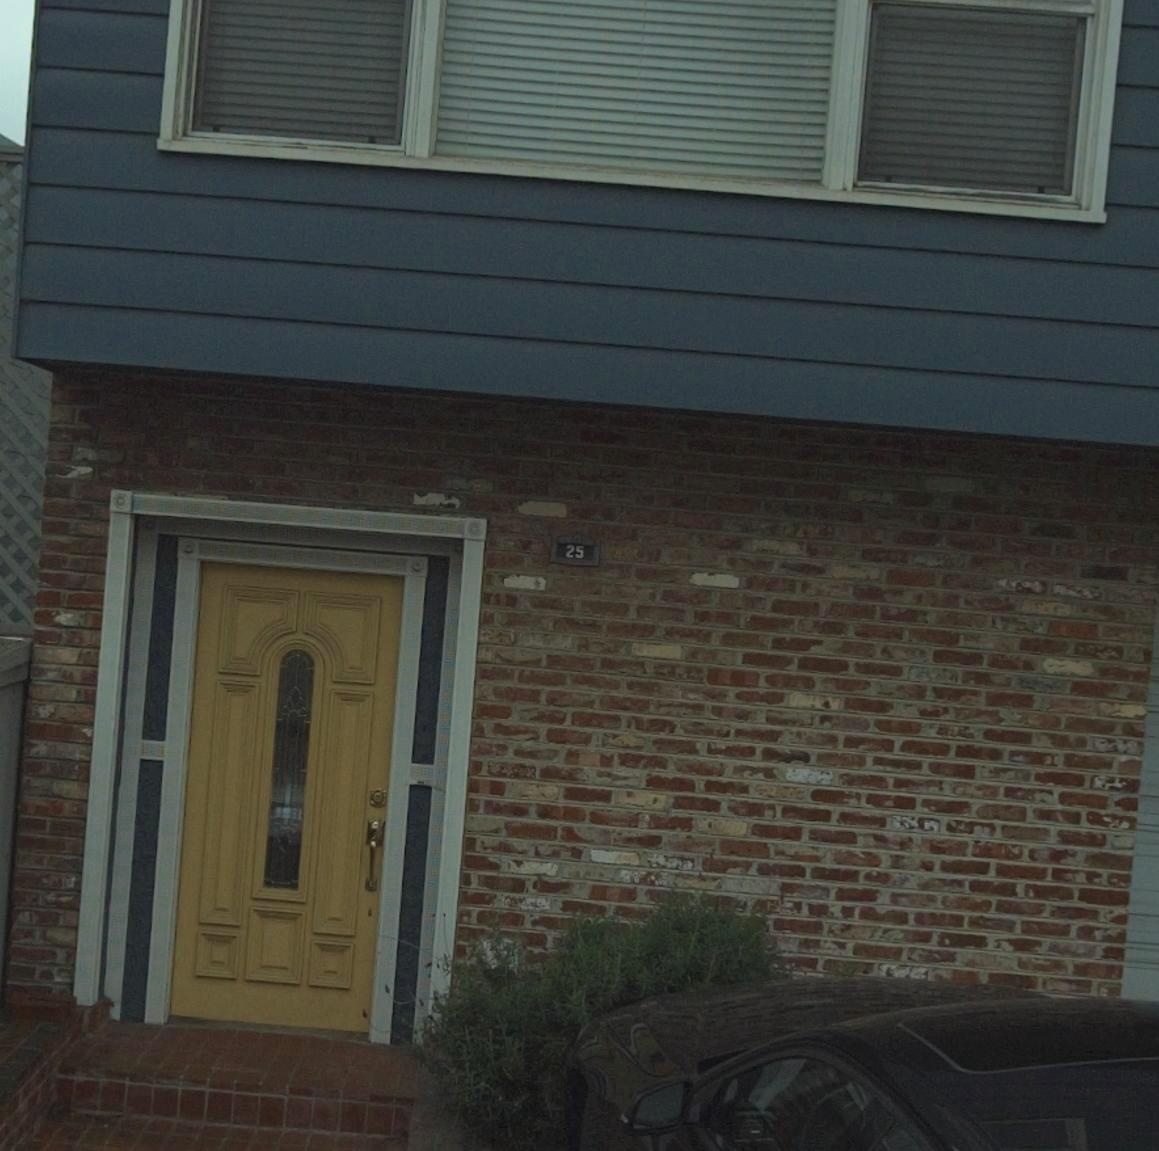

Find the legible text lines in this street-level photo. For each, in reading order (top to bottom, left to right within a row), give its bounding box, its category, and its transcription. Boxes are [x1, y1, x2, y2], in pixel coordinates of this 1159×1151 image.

[565, 544, 585, 560] StreetNumber: 25